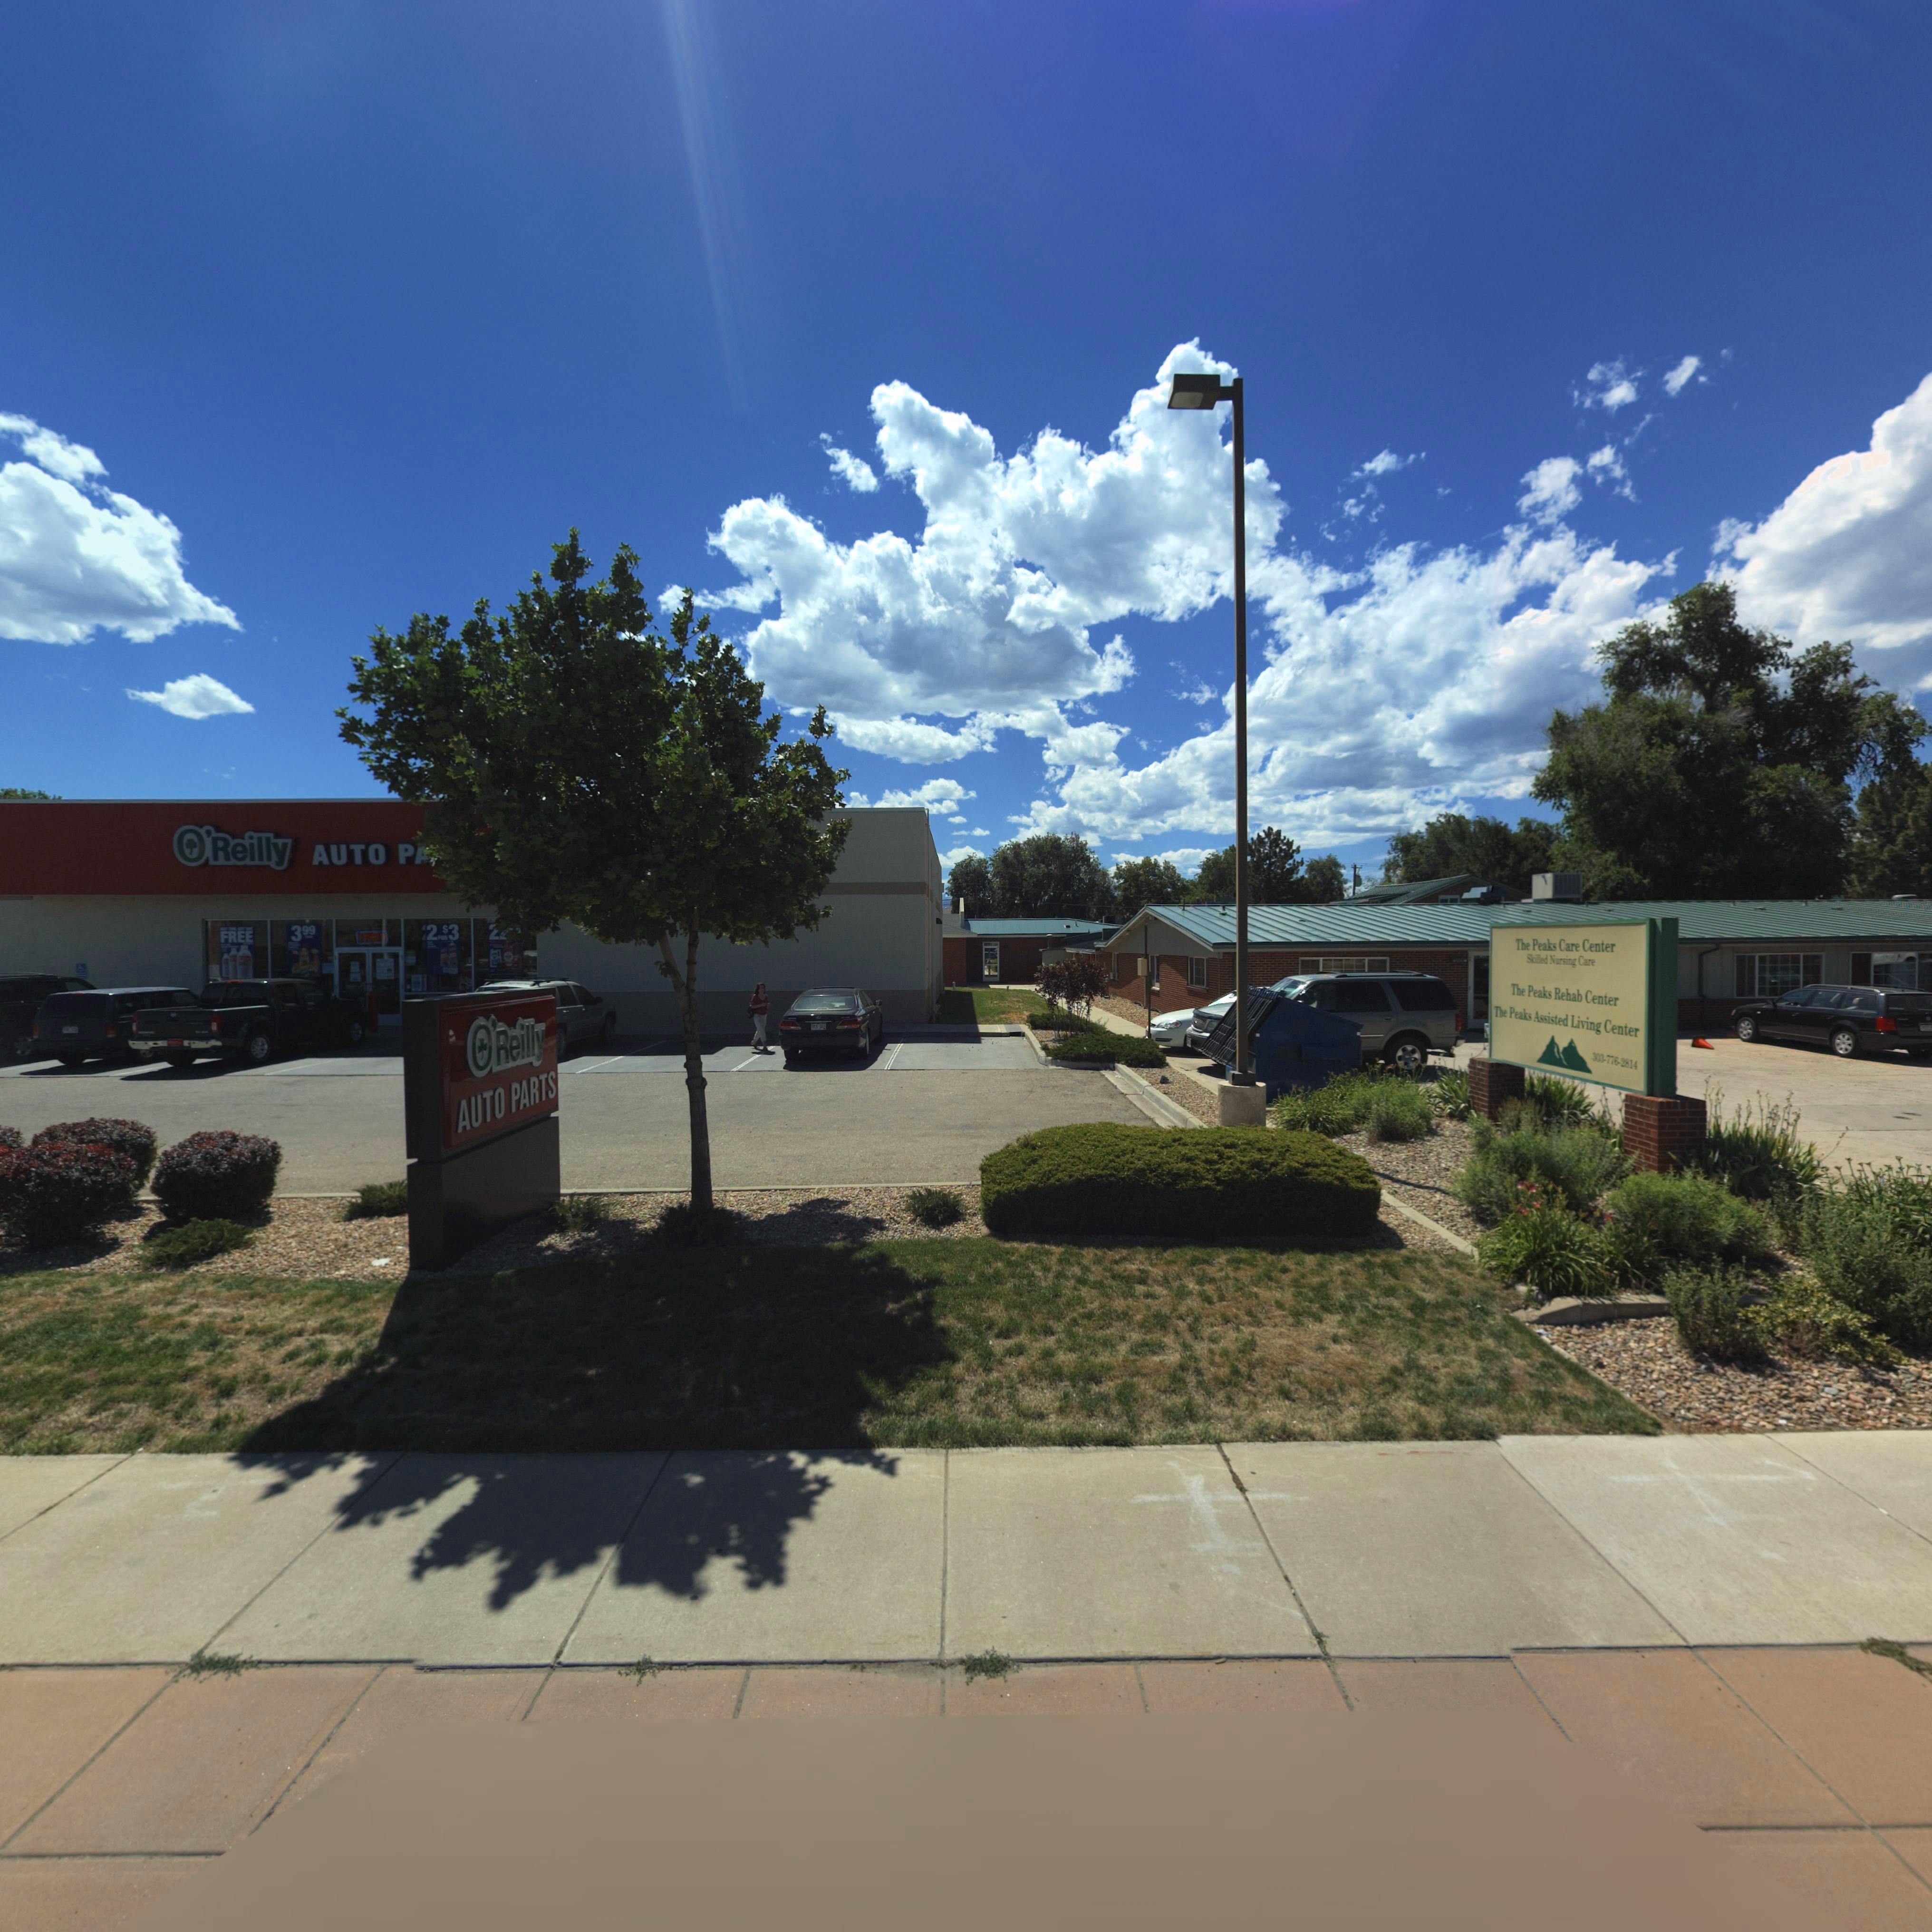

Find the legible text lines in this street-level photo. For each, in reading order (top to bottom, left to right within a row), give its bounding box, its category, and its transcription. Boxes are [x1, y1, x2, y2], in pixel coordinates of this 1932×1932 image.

[176, 826, 290, 868] BusinessName: O'Reilly
[311, 844, 473, 865] BusinessName: AUTO PA***
[1516, 938, 1615, 952] BusinessName: The Peaks Care Center
[1511, 983, 1619, 1006] BusinessName: The Peaks Rehab Center
[1494, 1005, 1640, 1037] BusinessName: The Peaks Assisted Living Center
[470, 1016, 545, 1072] BusinessName: O'Reilly
[457, 1070, 556, 1134] BusinessName: AUTO PARTS